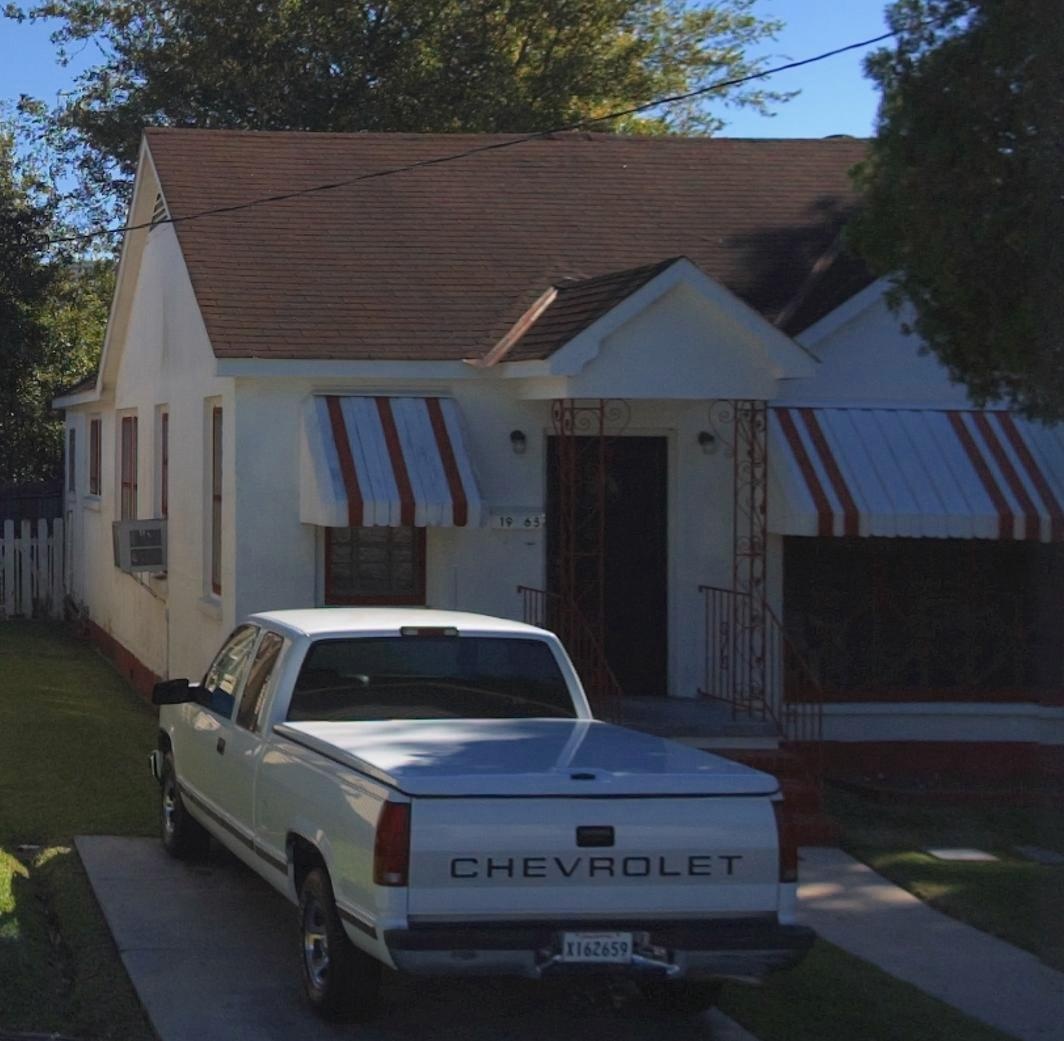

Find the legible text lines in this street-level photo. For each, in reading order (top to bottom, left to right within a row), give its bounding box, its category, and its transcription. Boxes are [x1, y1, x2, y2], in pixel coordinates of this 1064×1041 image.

[498, 514, 542, 530] StreetNumber: 19 65
[448, 852, 747, 882] None: CHEVROLET
[562, 936, 632, 961] None: X162659